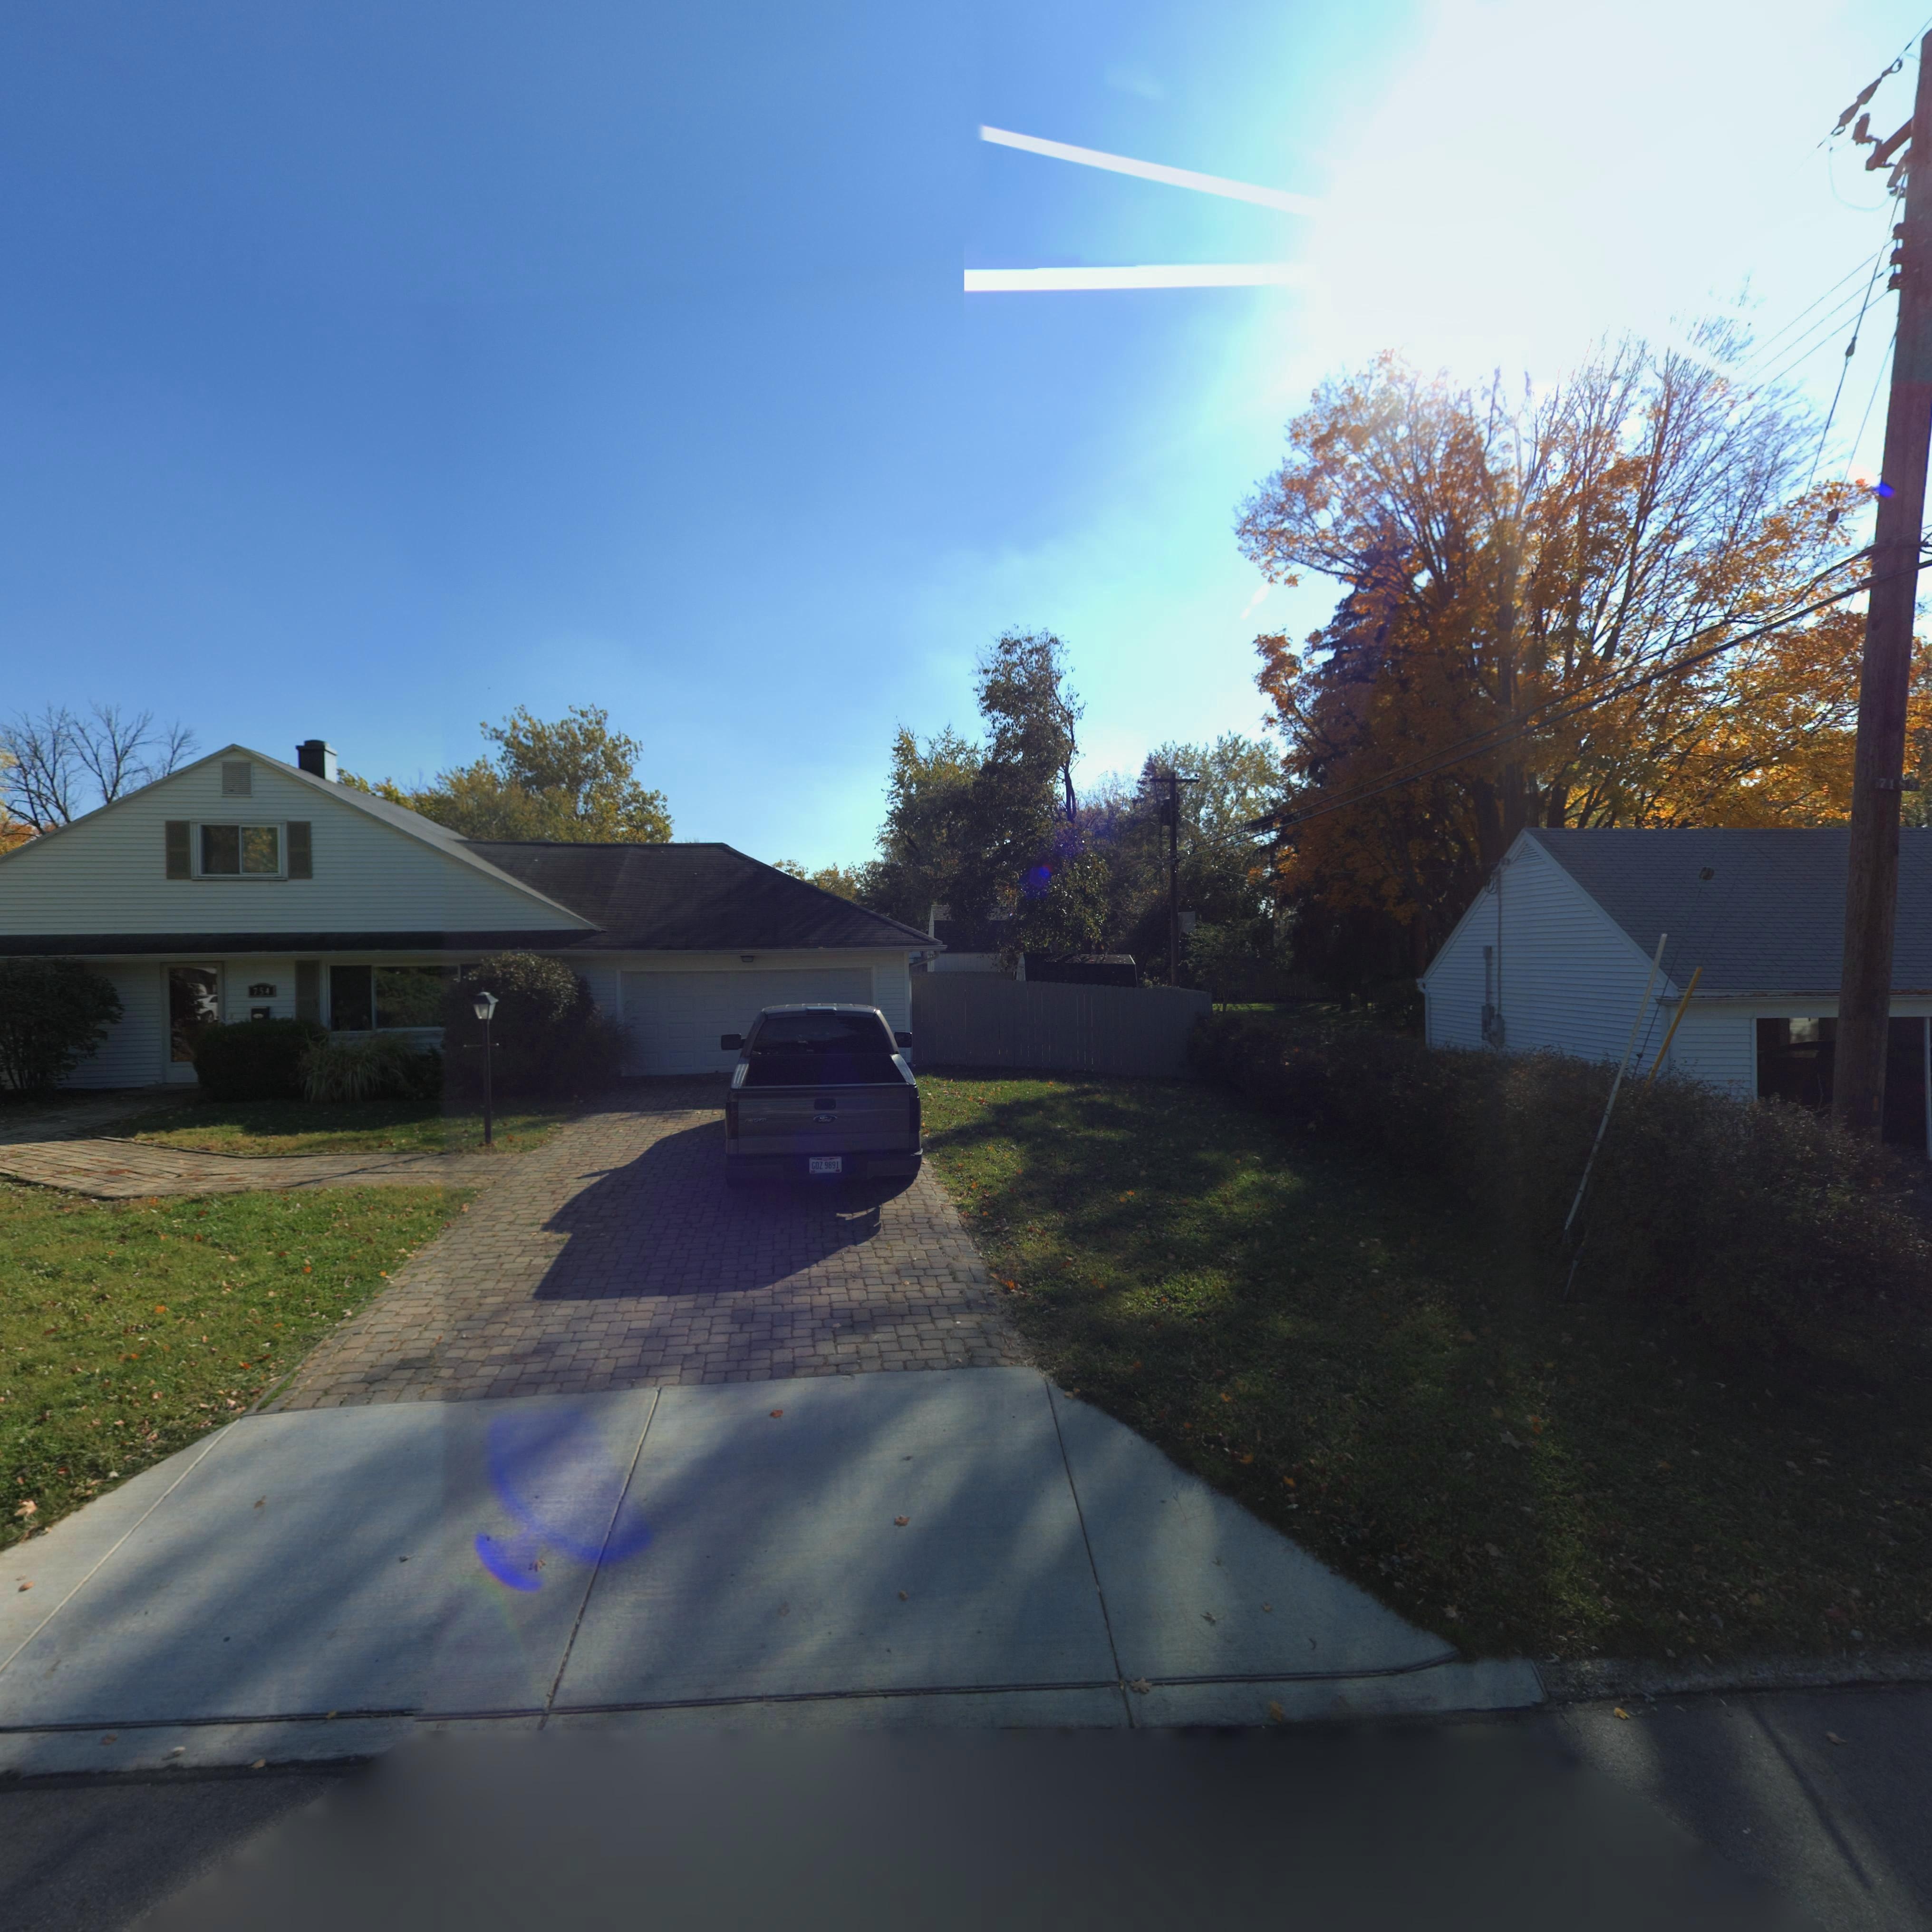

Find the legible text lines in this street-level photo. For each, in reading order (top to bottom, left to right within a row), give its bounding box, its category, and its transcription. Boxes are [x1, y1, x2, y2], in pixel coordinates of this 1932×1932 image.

[251, 985, 272, 996] StreetNumber: 754
[811, 1159, 840, 1170] None: GDZ 9891